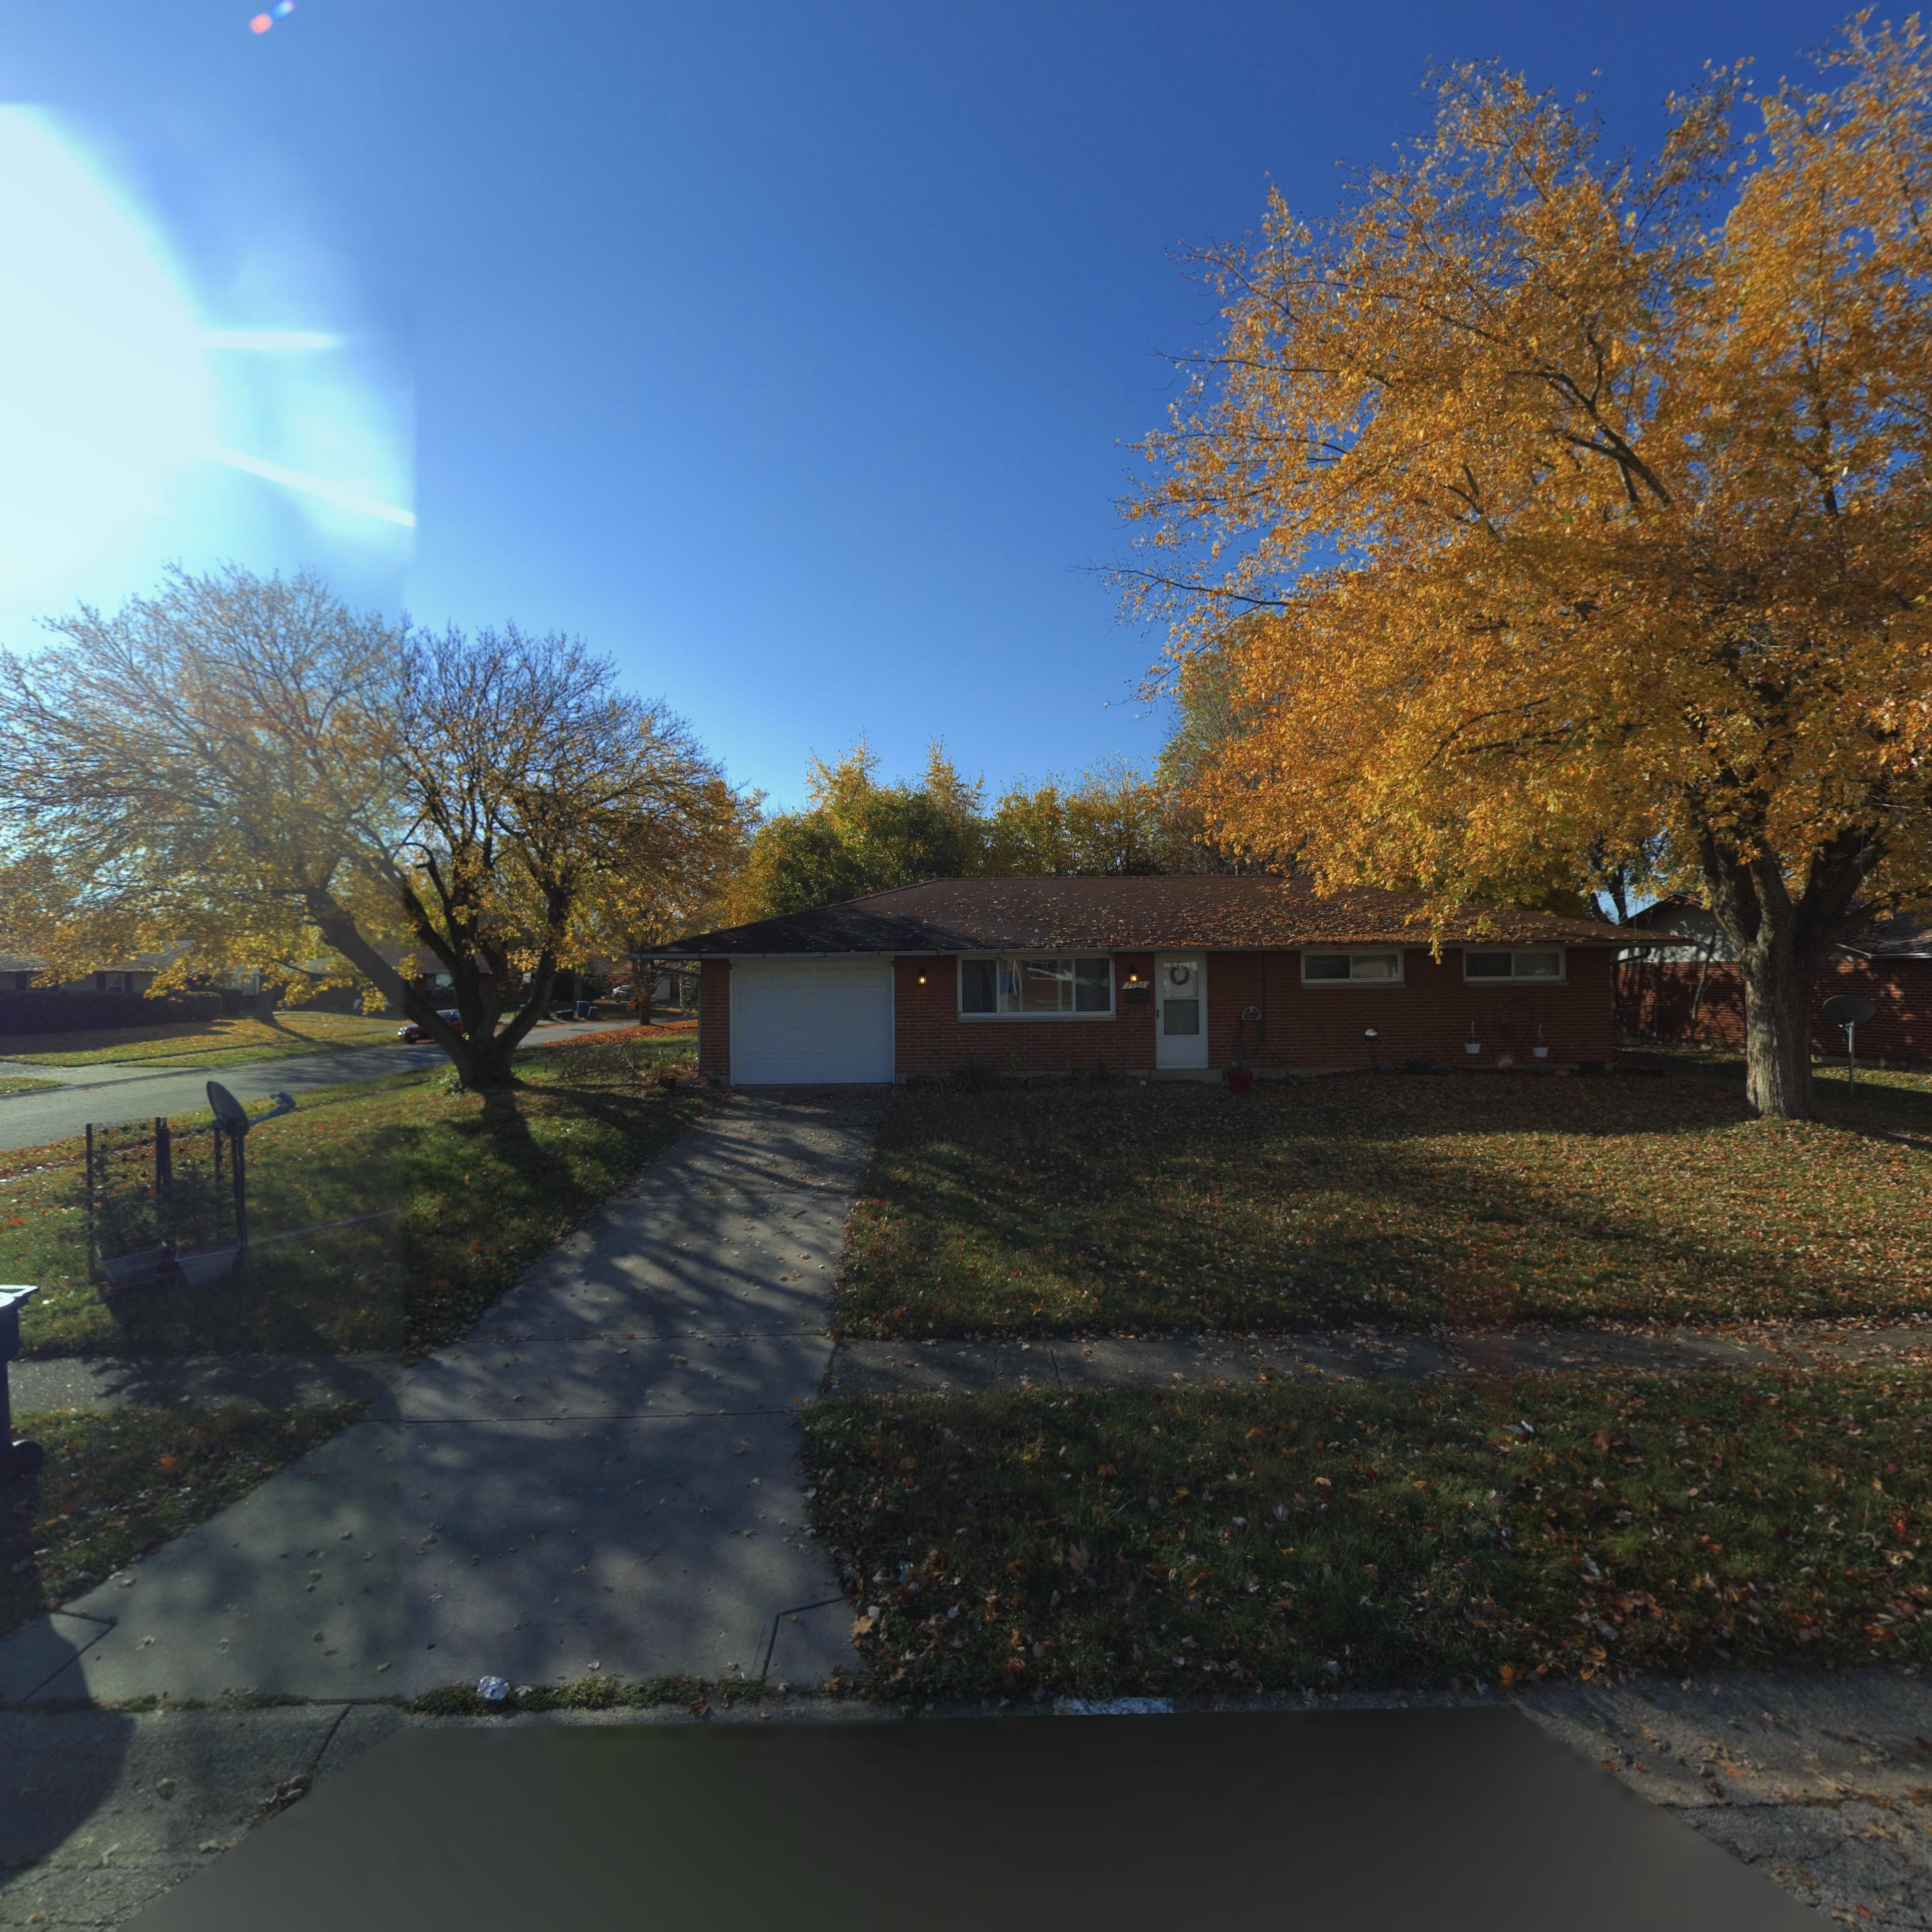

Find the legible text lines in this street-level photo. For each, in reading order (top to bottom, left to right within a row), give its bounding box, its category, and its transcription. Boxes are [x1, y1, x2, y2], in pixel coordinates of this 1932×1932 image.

[1126, 982, 1145, 989] StreetNumber: 7996